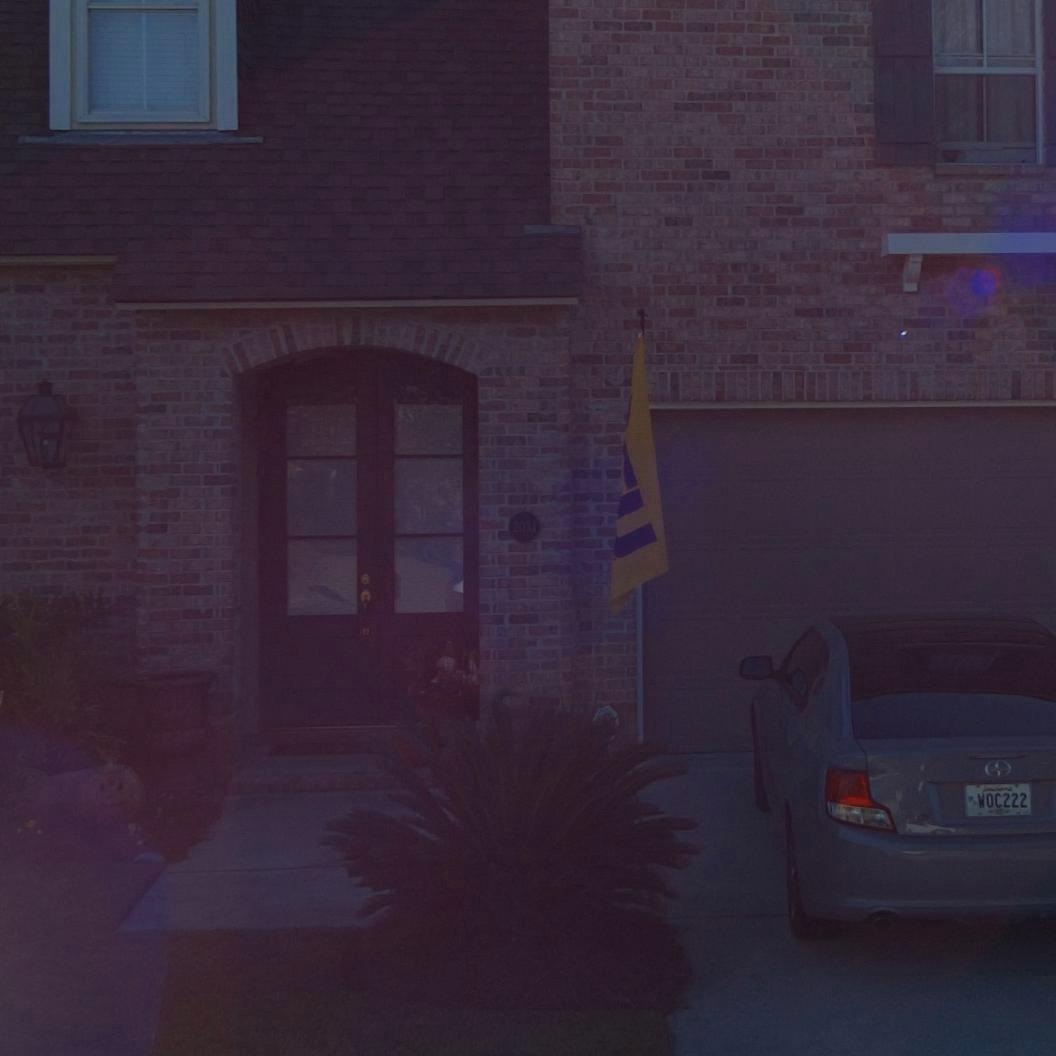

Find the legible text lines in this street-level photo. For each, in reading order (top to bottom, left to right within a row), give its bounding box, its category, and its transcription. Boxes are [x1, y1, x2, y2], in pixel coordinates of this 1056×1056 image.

[511, 519, 538, 535] StreetNumber: 2051
[973, 790, 1030, 810] None: WOC222